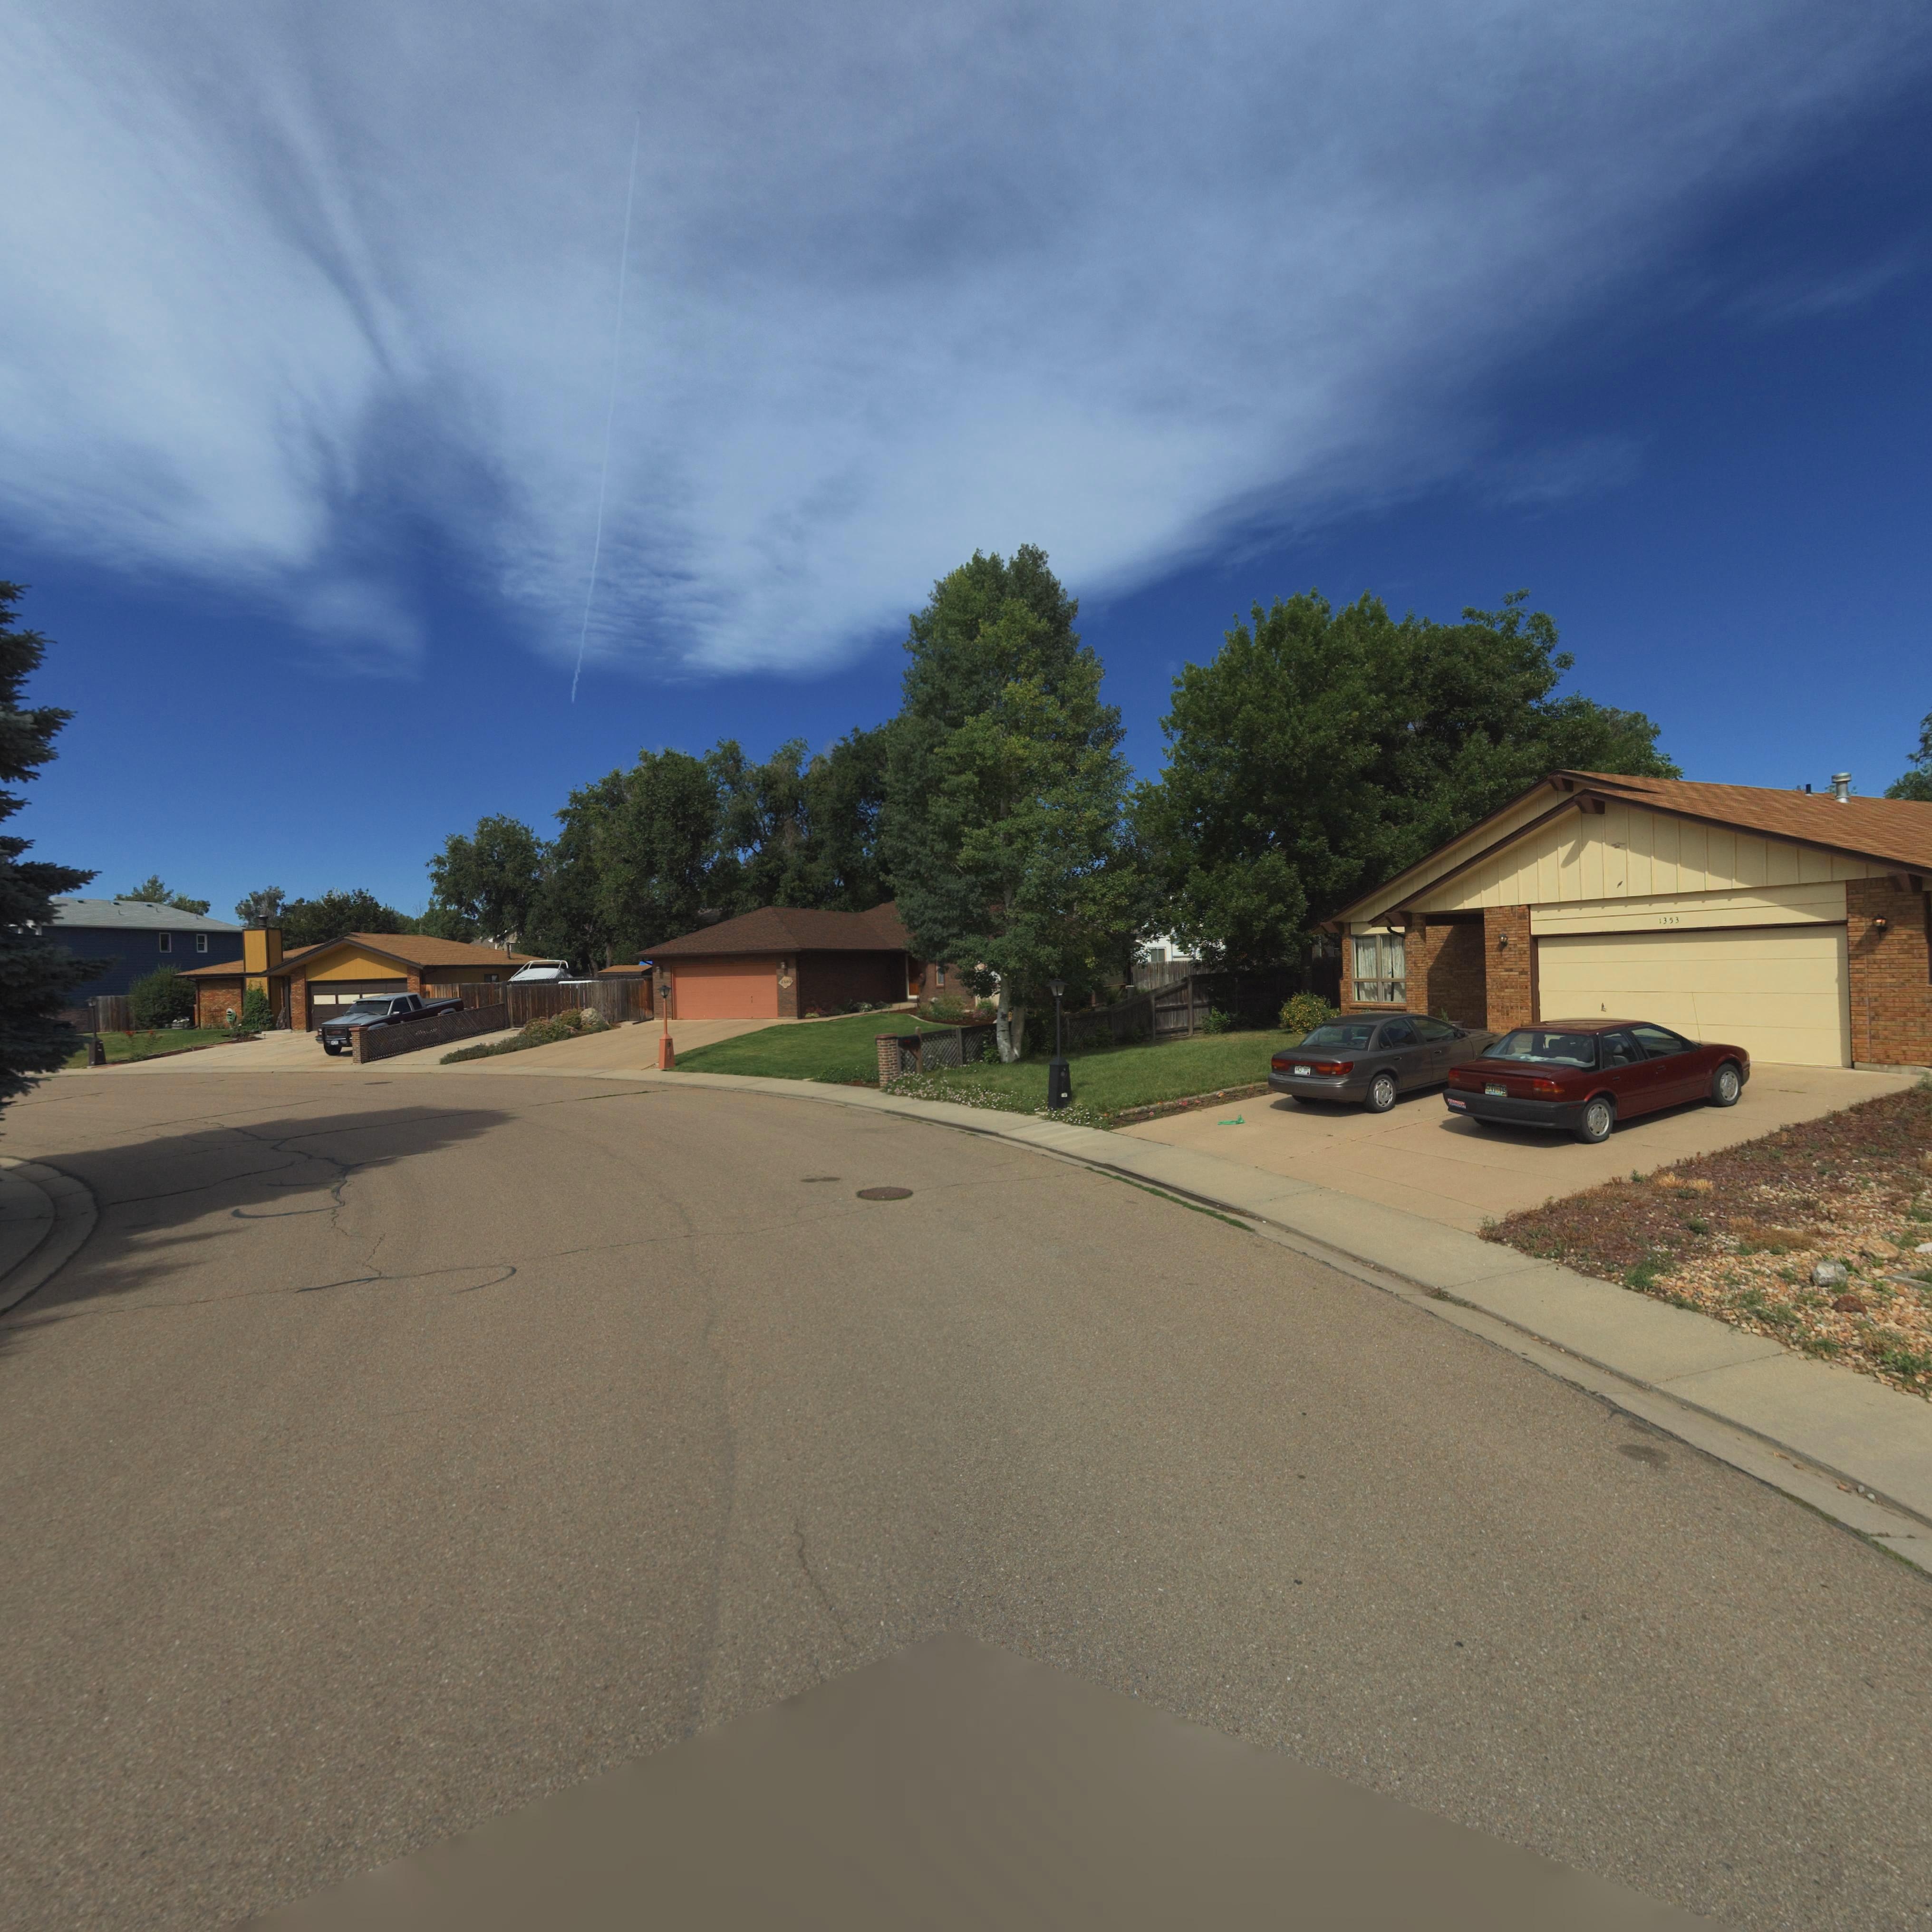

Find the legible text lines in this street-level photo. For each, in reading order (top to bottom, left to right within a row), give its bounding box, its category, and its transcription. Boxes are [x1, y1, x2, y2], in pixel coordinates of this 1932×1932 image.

[1659, 916, 1680, 925] StreetNumber: 1353
[781, 979, 792, 984] StreetNumber: 13**